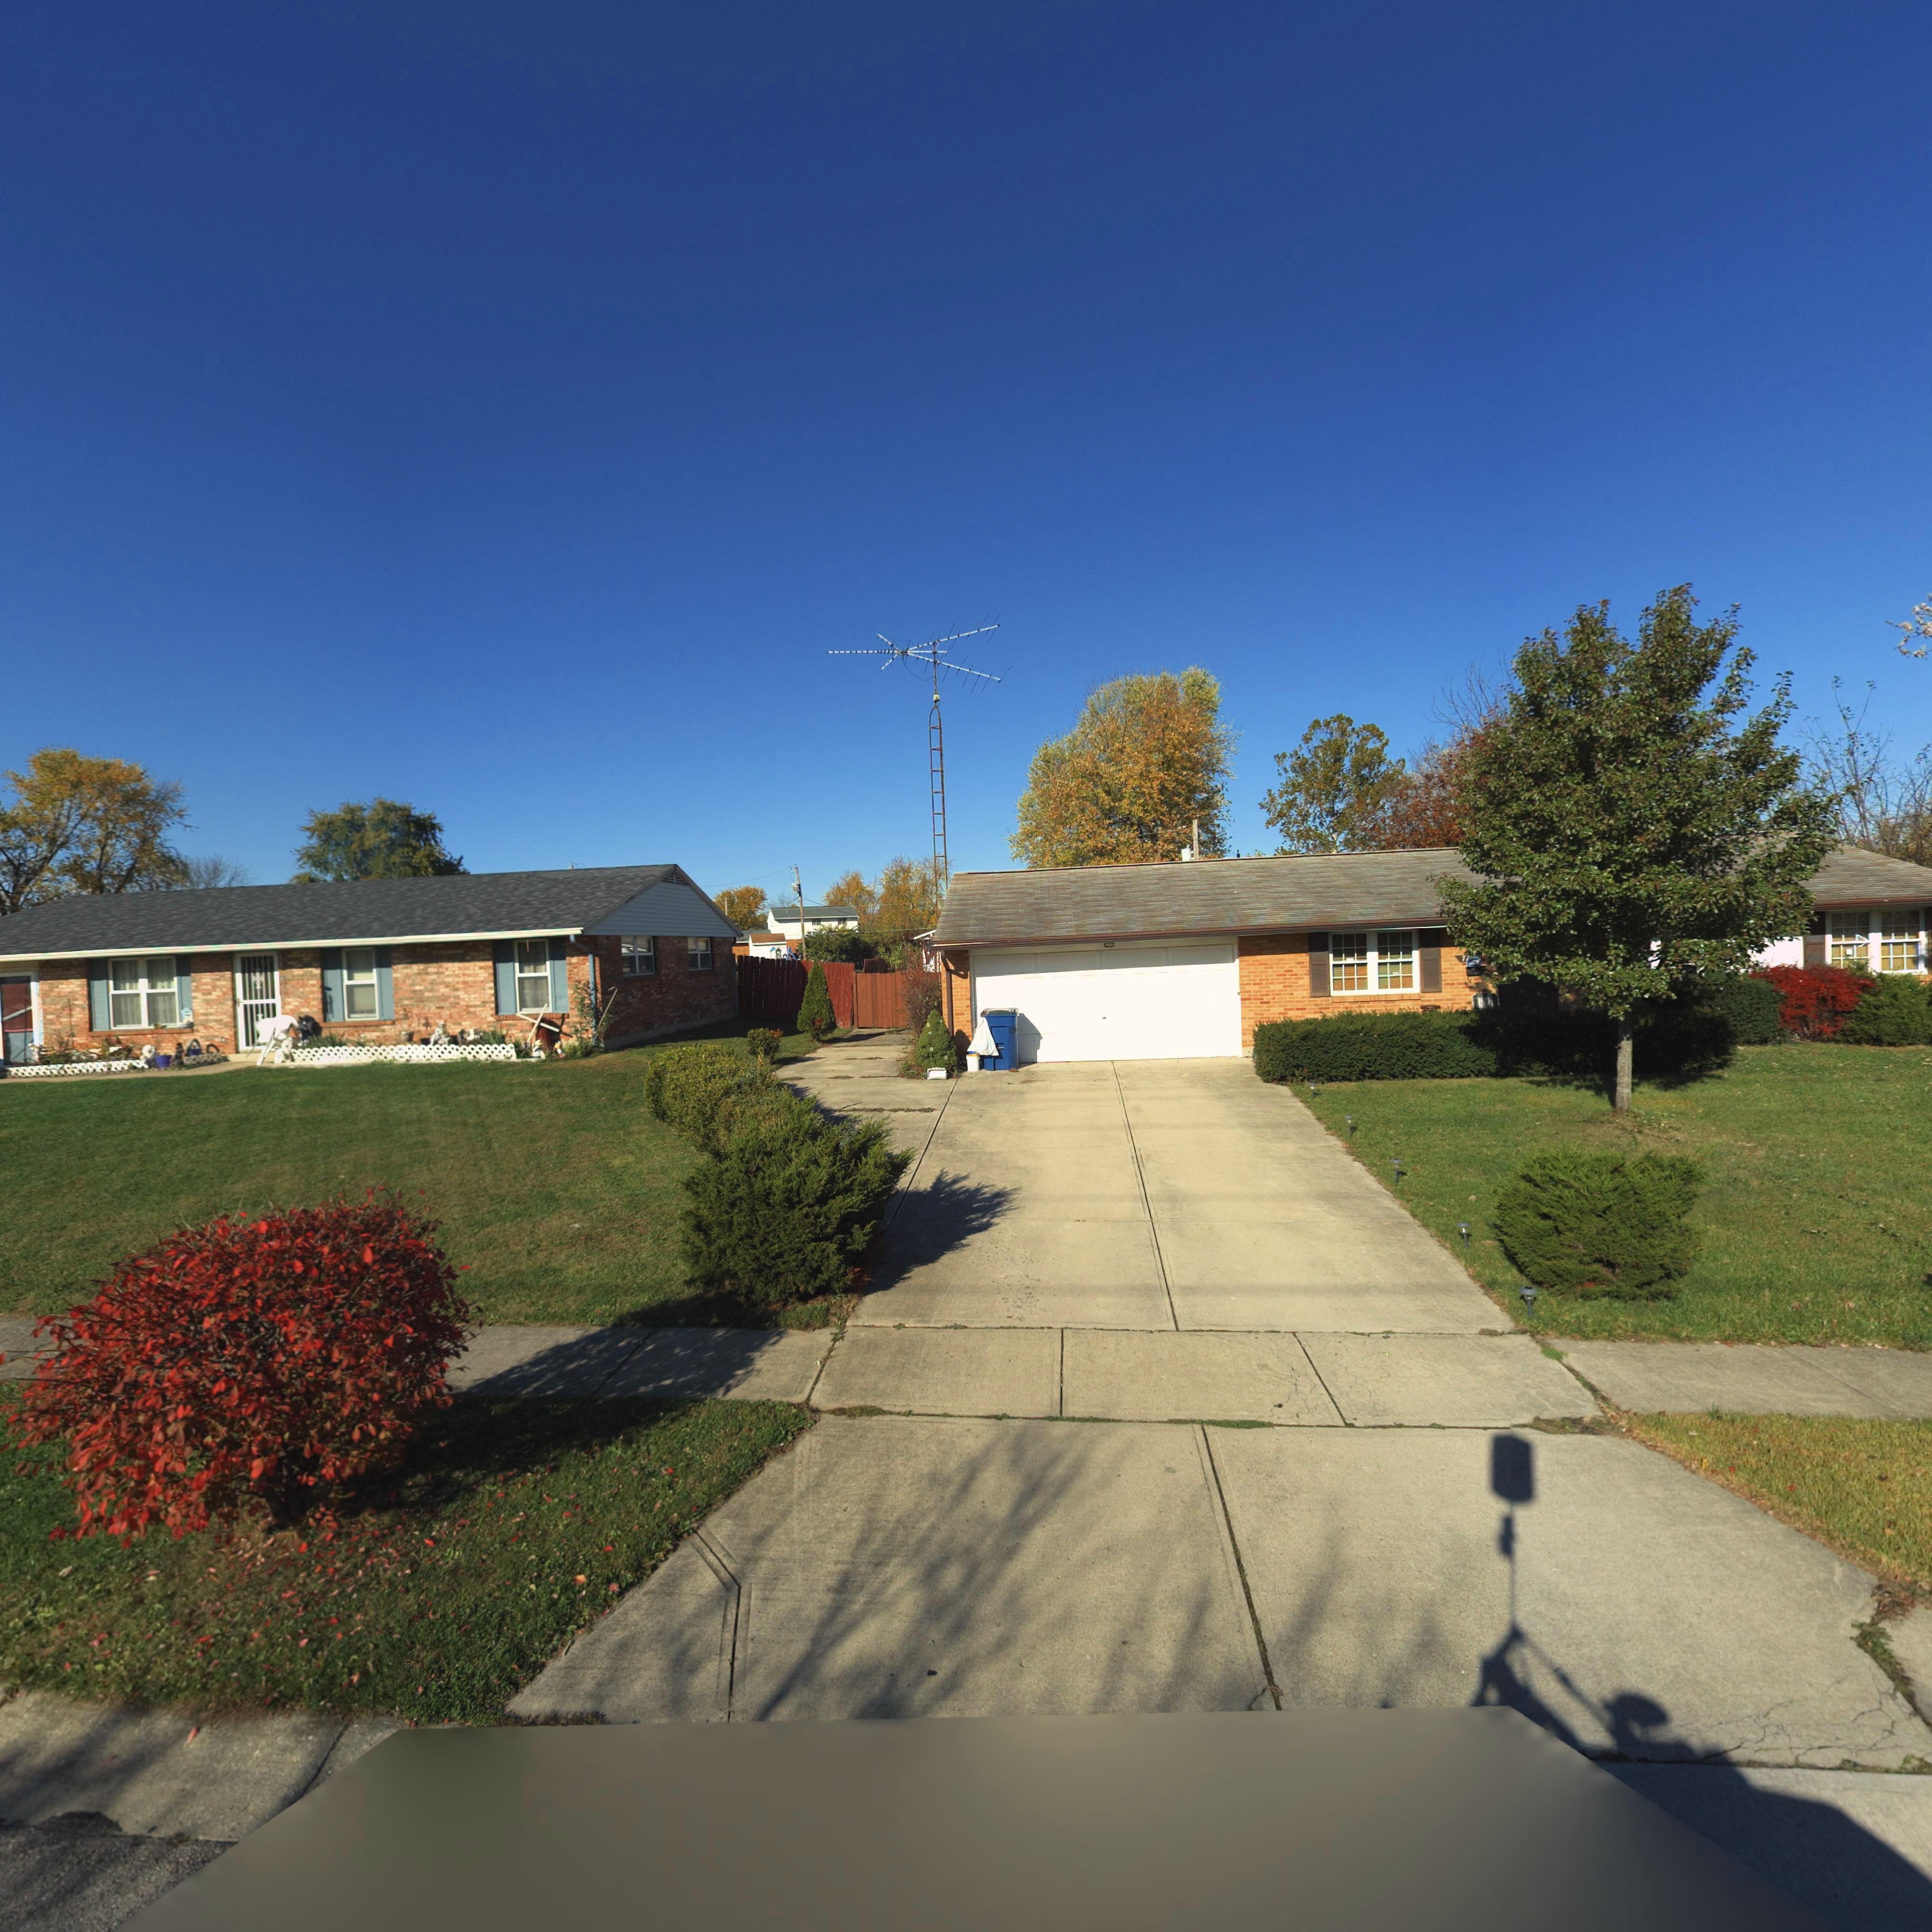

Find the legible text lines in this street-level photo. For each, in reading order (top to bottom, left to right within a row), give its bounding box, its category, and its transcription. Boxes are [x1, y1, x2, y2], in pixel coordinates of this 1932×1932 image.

[1461, 954, 1467, 963] StreetNumber: 7